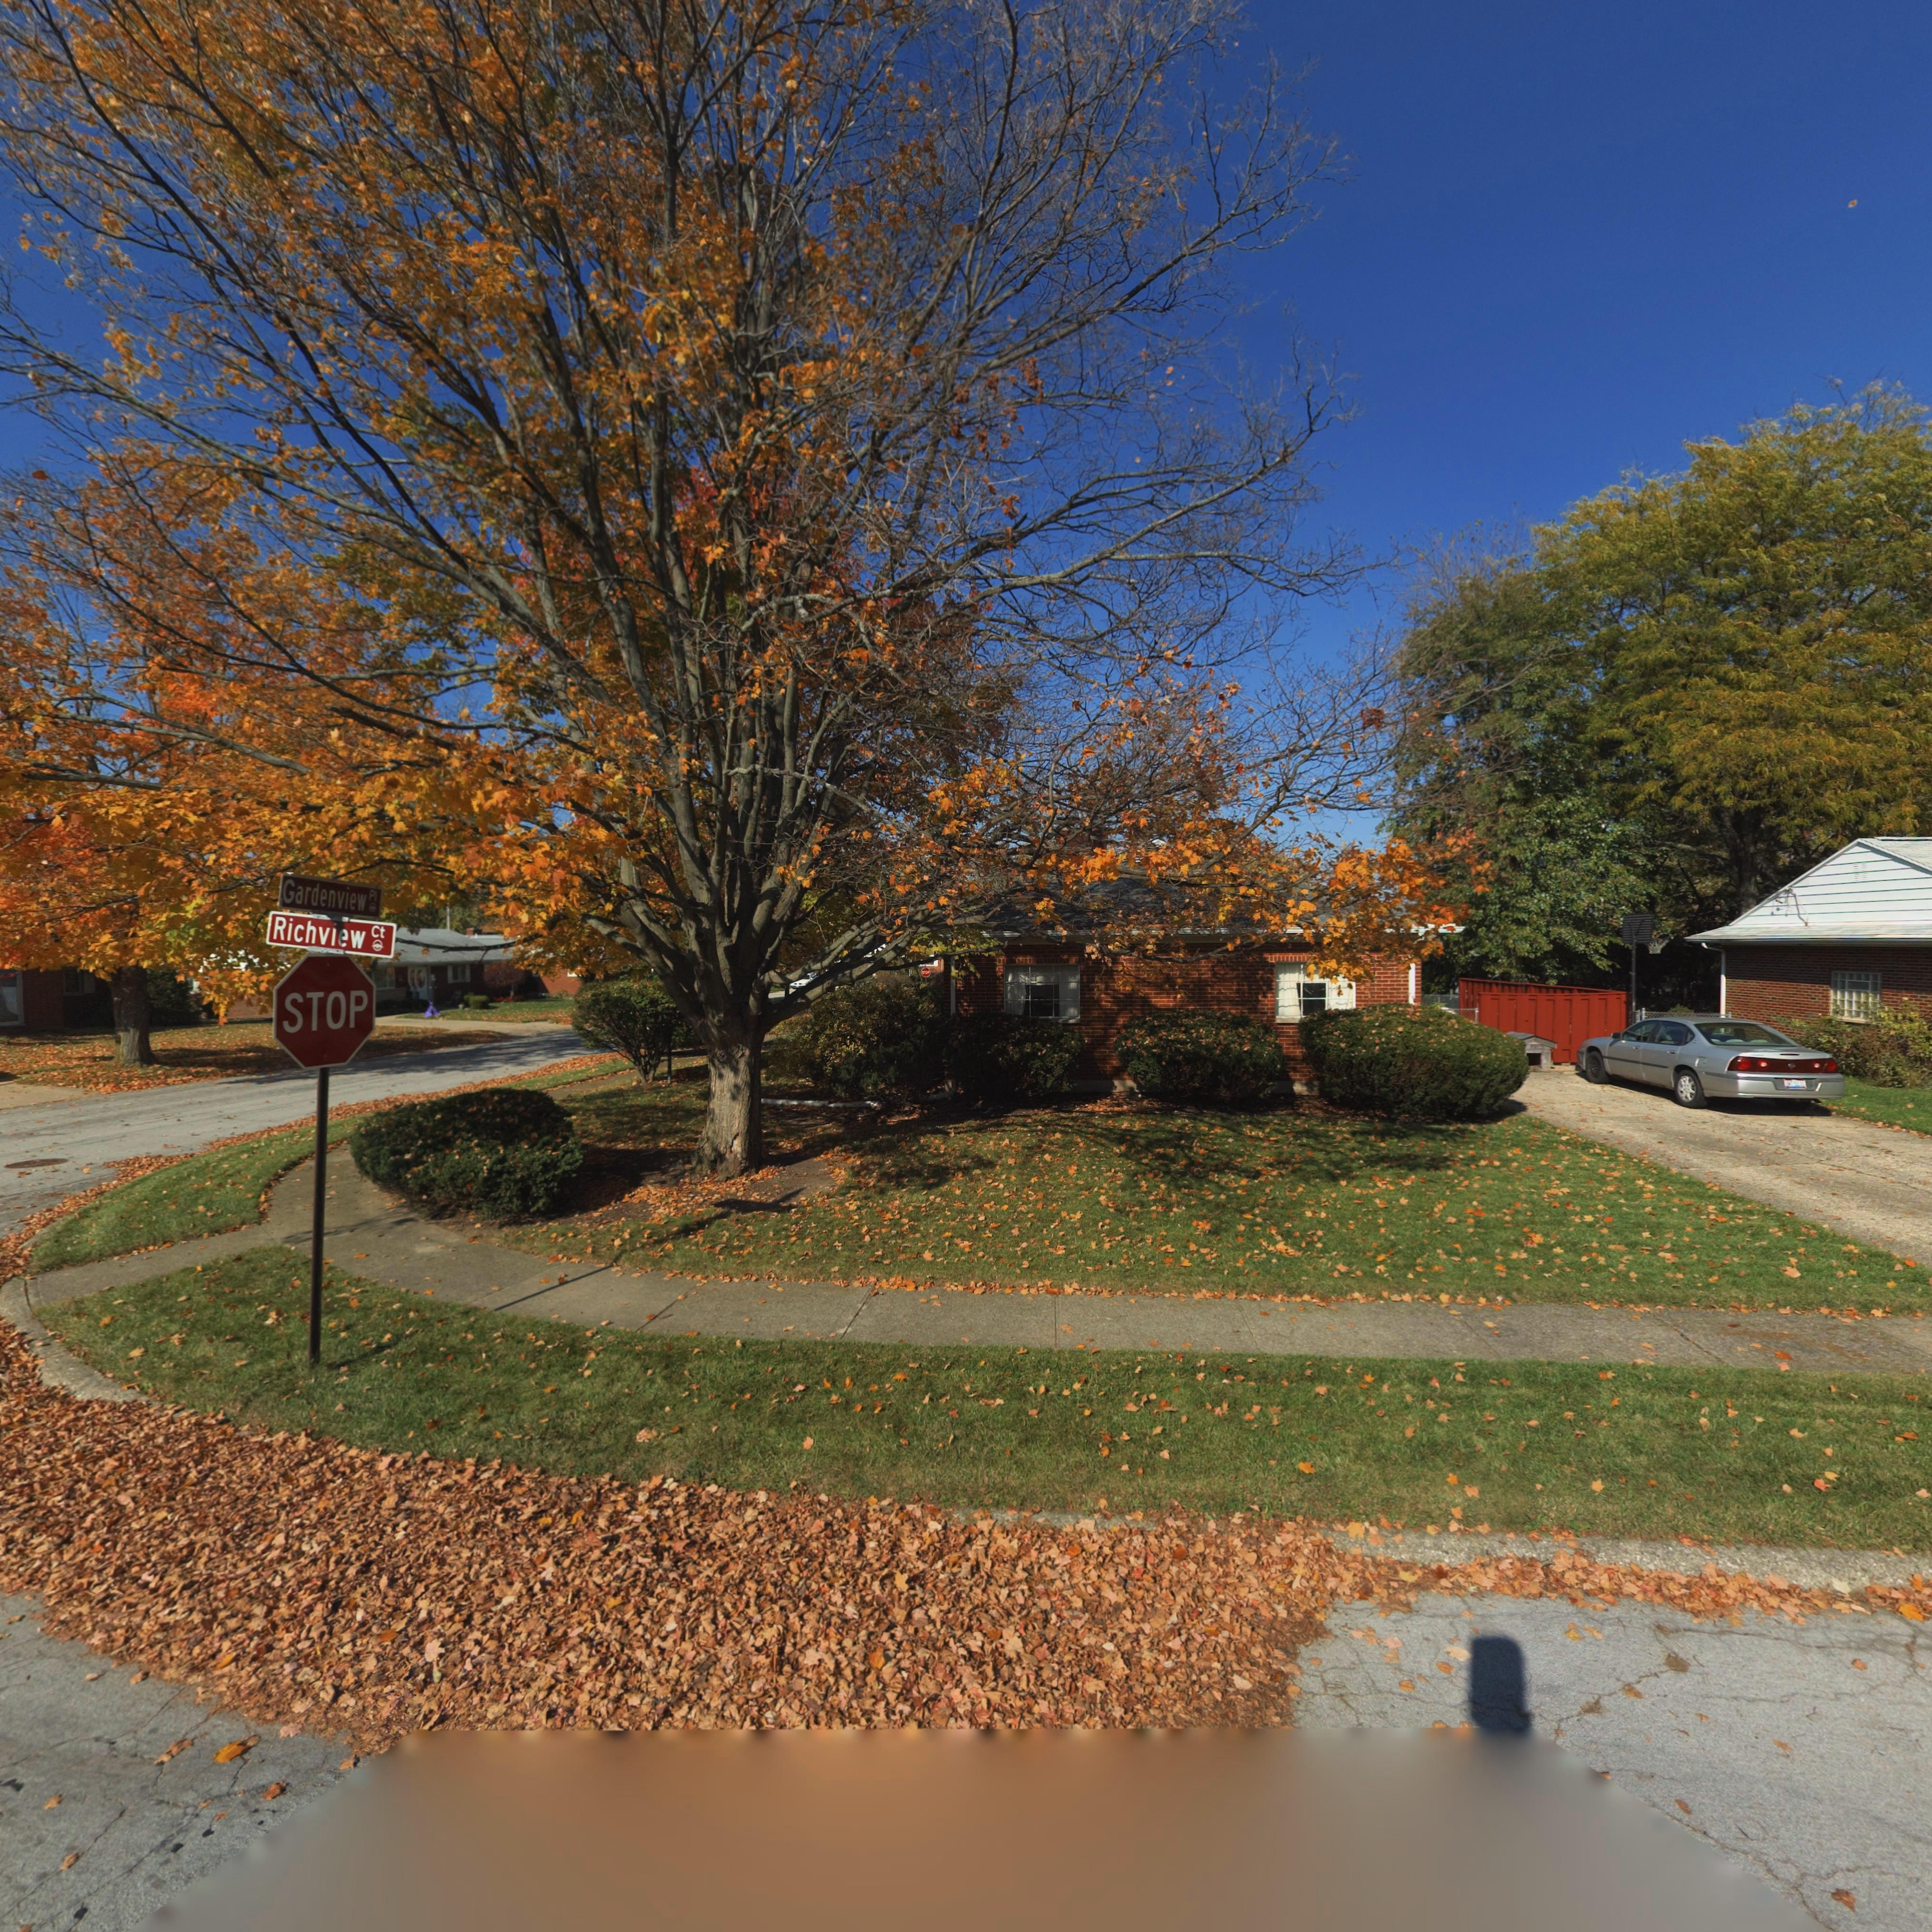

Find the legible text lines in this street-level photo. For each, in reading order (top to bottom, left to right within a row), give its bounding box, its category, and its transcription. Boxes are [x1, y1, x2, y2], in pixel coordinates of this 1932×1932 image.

[281, 877, 379, 912] StreetName: Gardenview Pl
[272, 916, 387, 950] StreetName: Richview Ct
[921, 970, 930, 975] None: STOP
[281, 988, 368, 1034] None: STOP